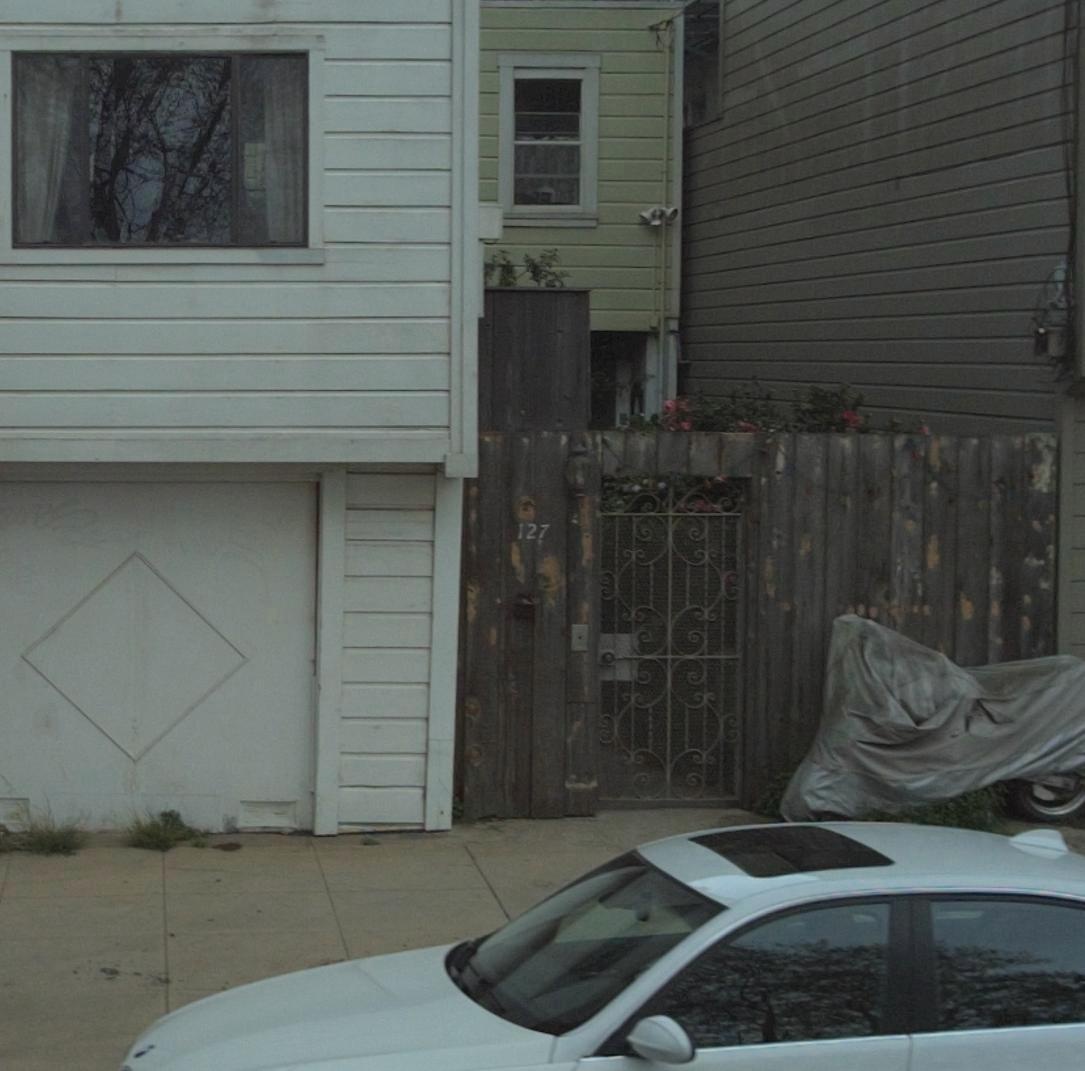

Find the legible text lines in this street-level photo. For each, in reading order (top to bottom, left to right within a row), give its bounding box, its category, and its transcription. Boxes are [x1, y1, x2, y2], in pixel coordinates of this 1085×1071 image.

[515, 521, 551, 541] StreetNumber: 127